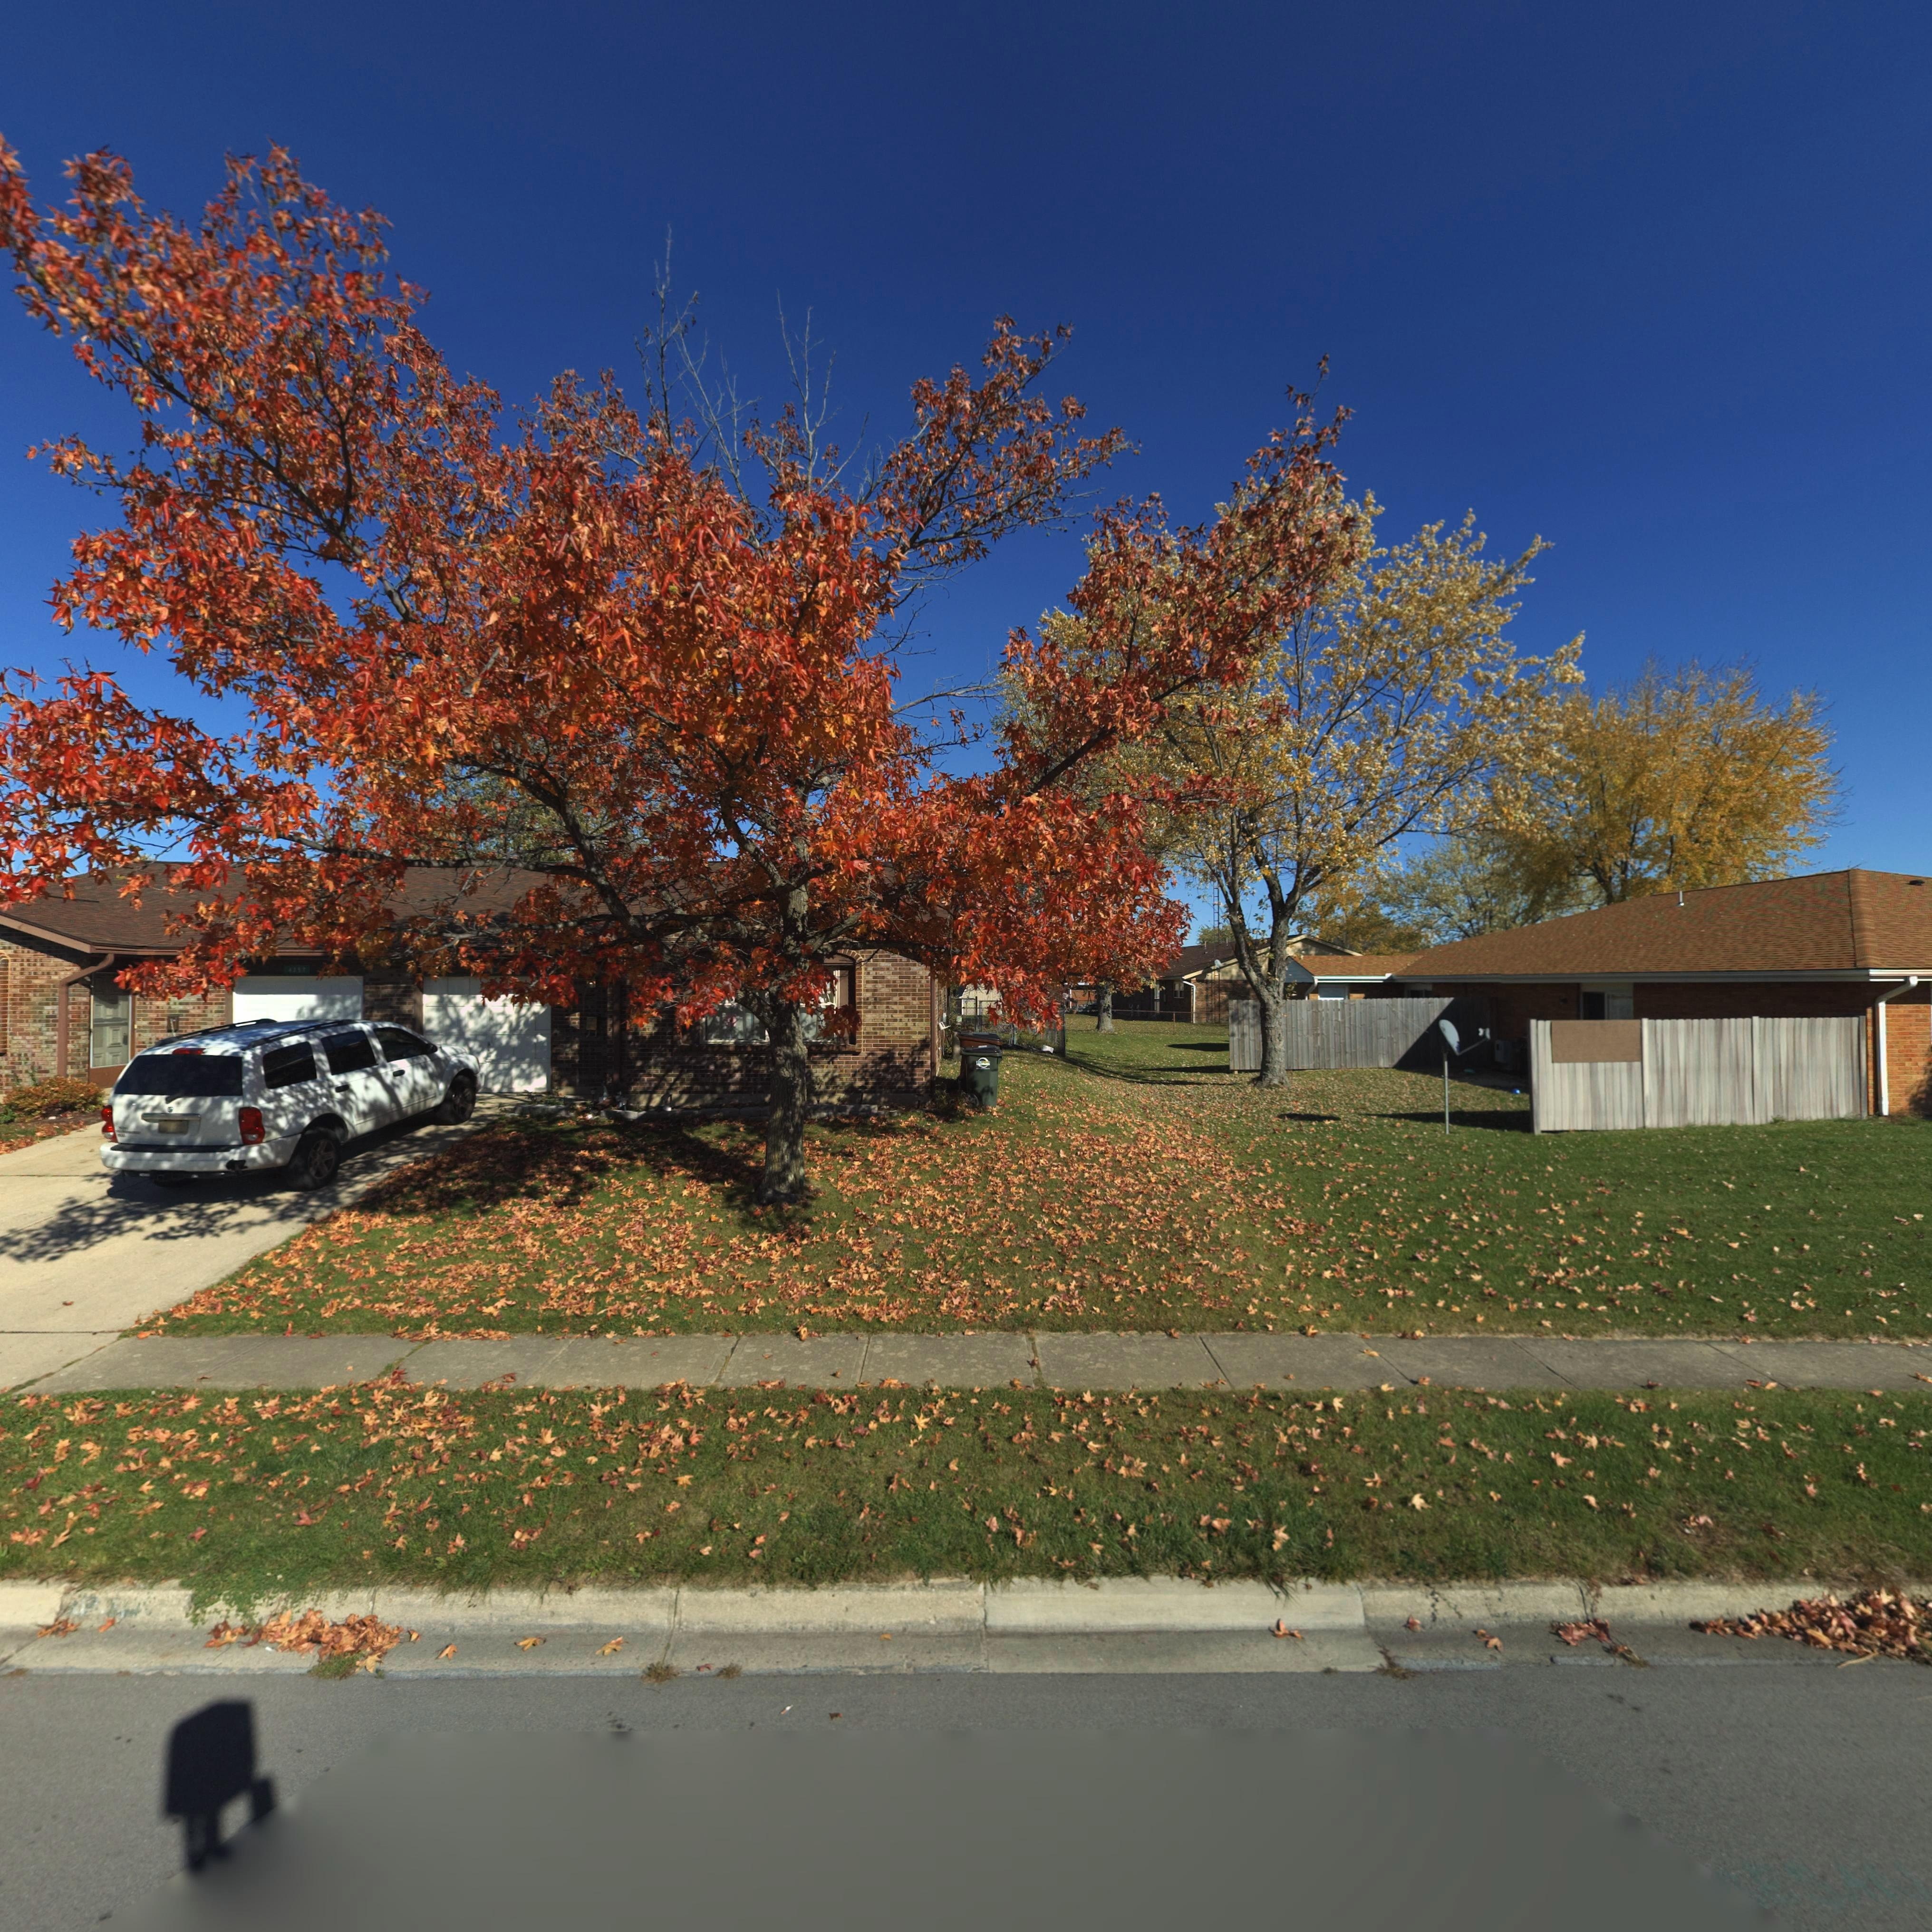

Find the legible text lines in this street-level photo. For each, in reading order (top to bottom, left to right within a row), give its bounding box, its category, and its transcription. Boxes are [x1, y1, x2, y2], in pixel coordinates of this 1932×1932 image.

[288, 967, 306, 973] StreetNumber: 435*